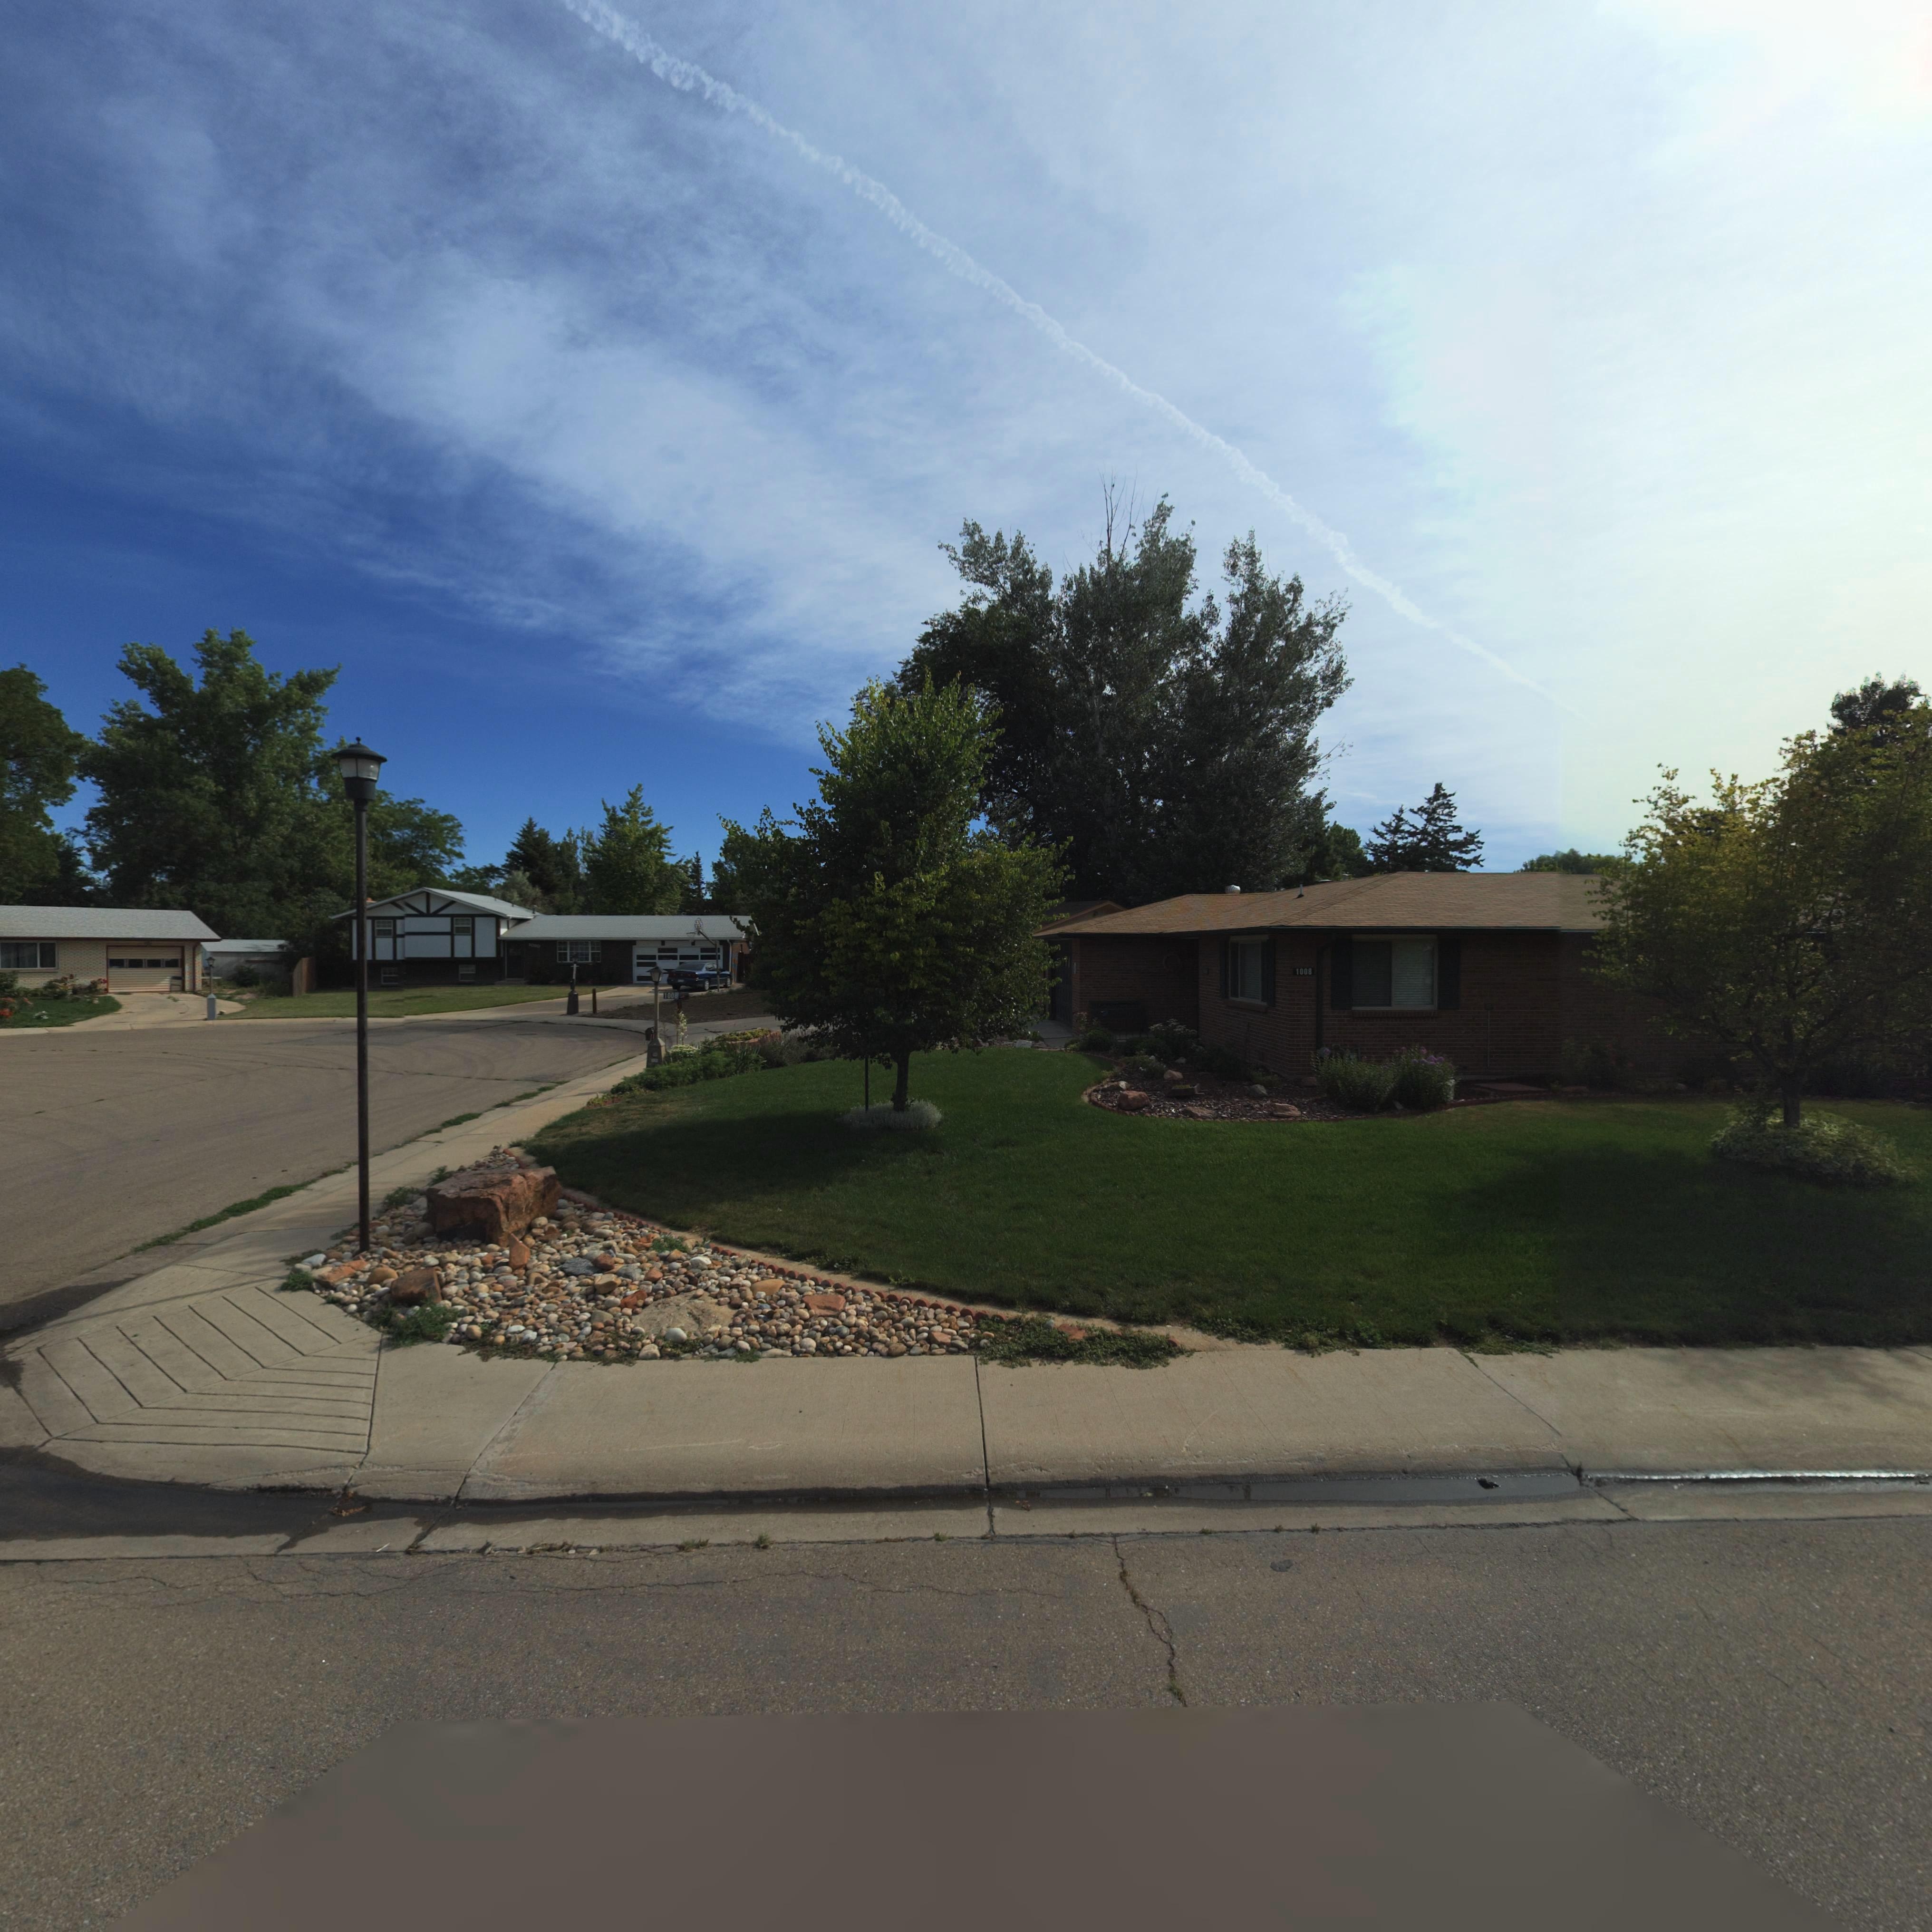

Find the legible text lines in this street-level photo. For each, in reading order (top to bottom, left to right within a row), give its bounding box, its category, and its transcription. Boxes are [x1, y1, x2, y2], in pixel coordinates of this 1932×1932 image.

[528, 942, 541, 948] StreetNumber: 10**
[1295, 967, 1312, 975] StreetNumber: 1008
[664, 992, 678, 999] StreetNumber: 1008